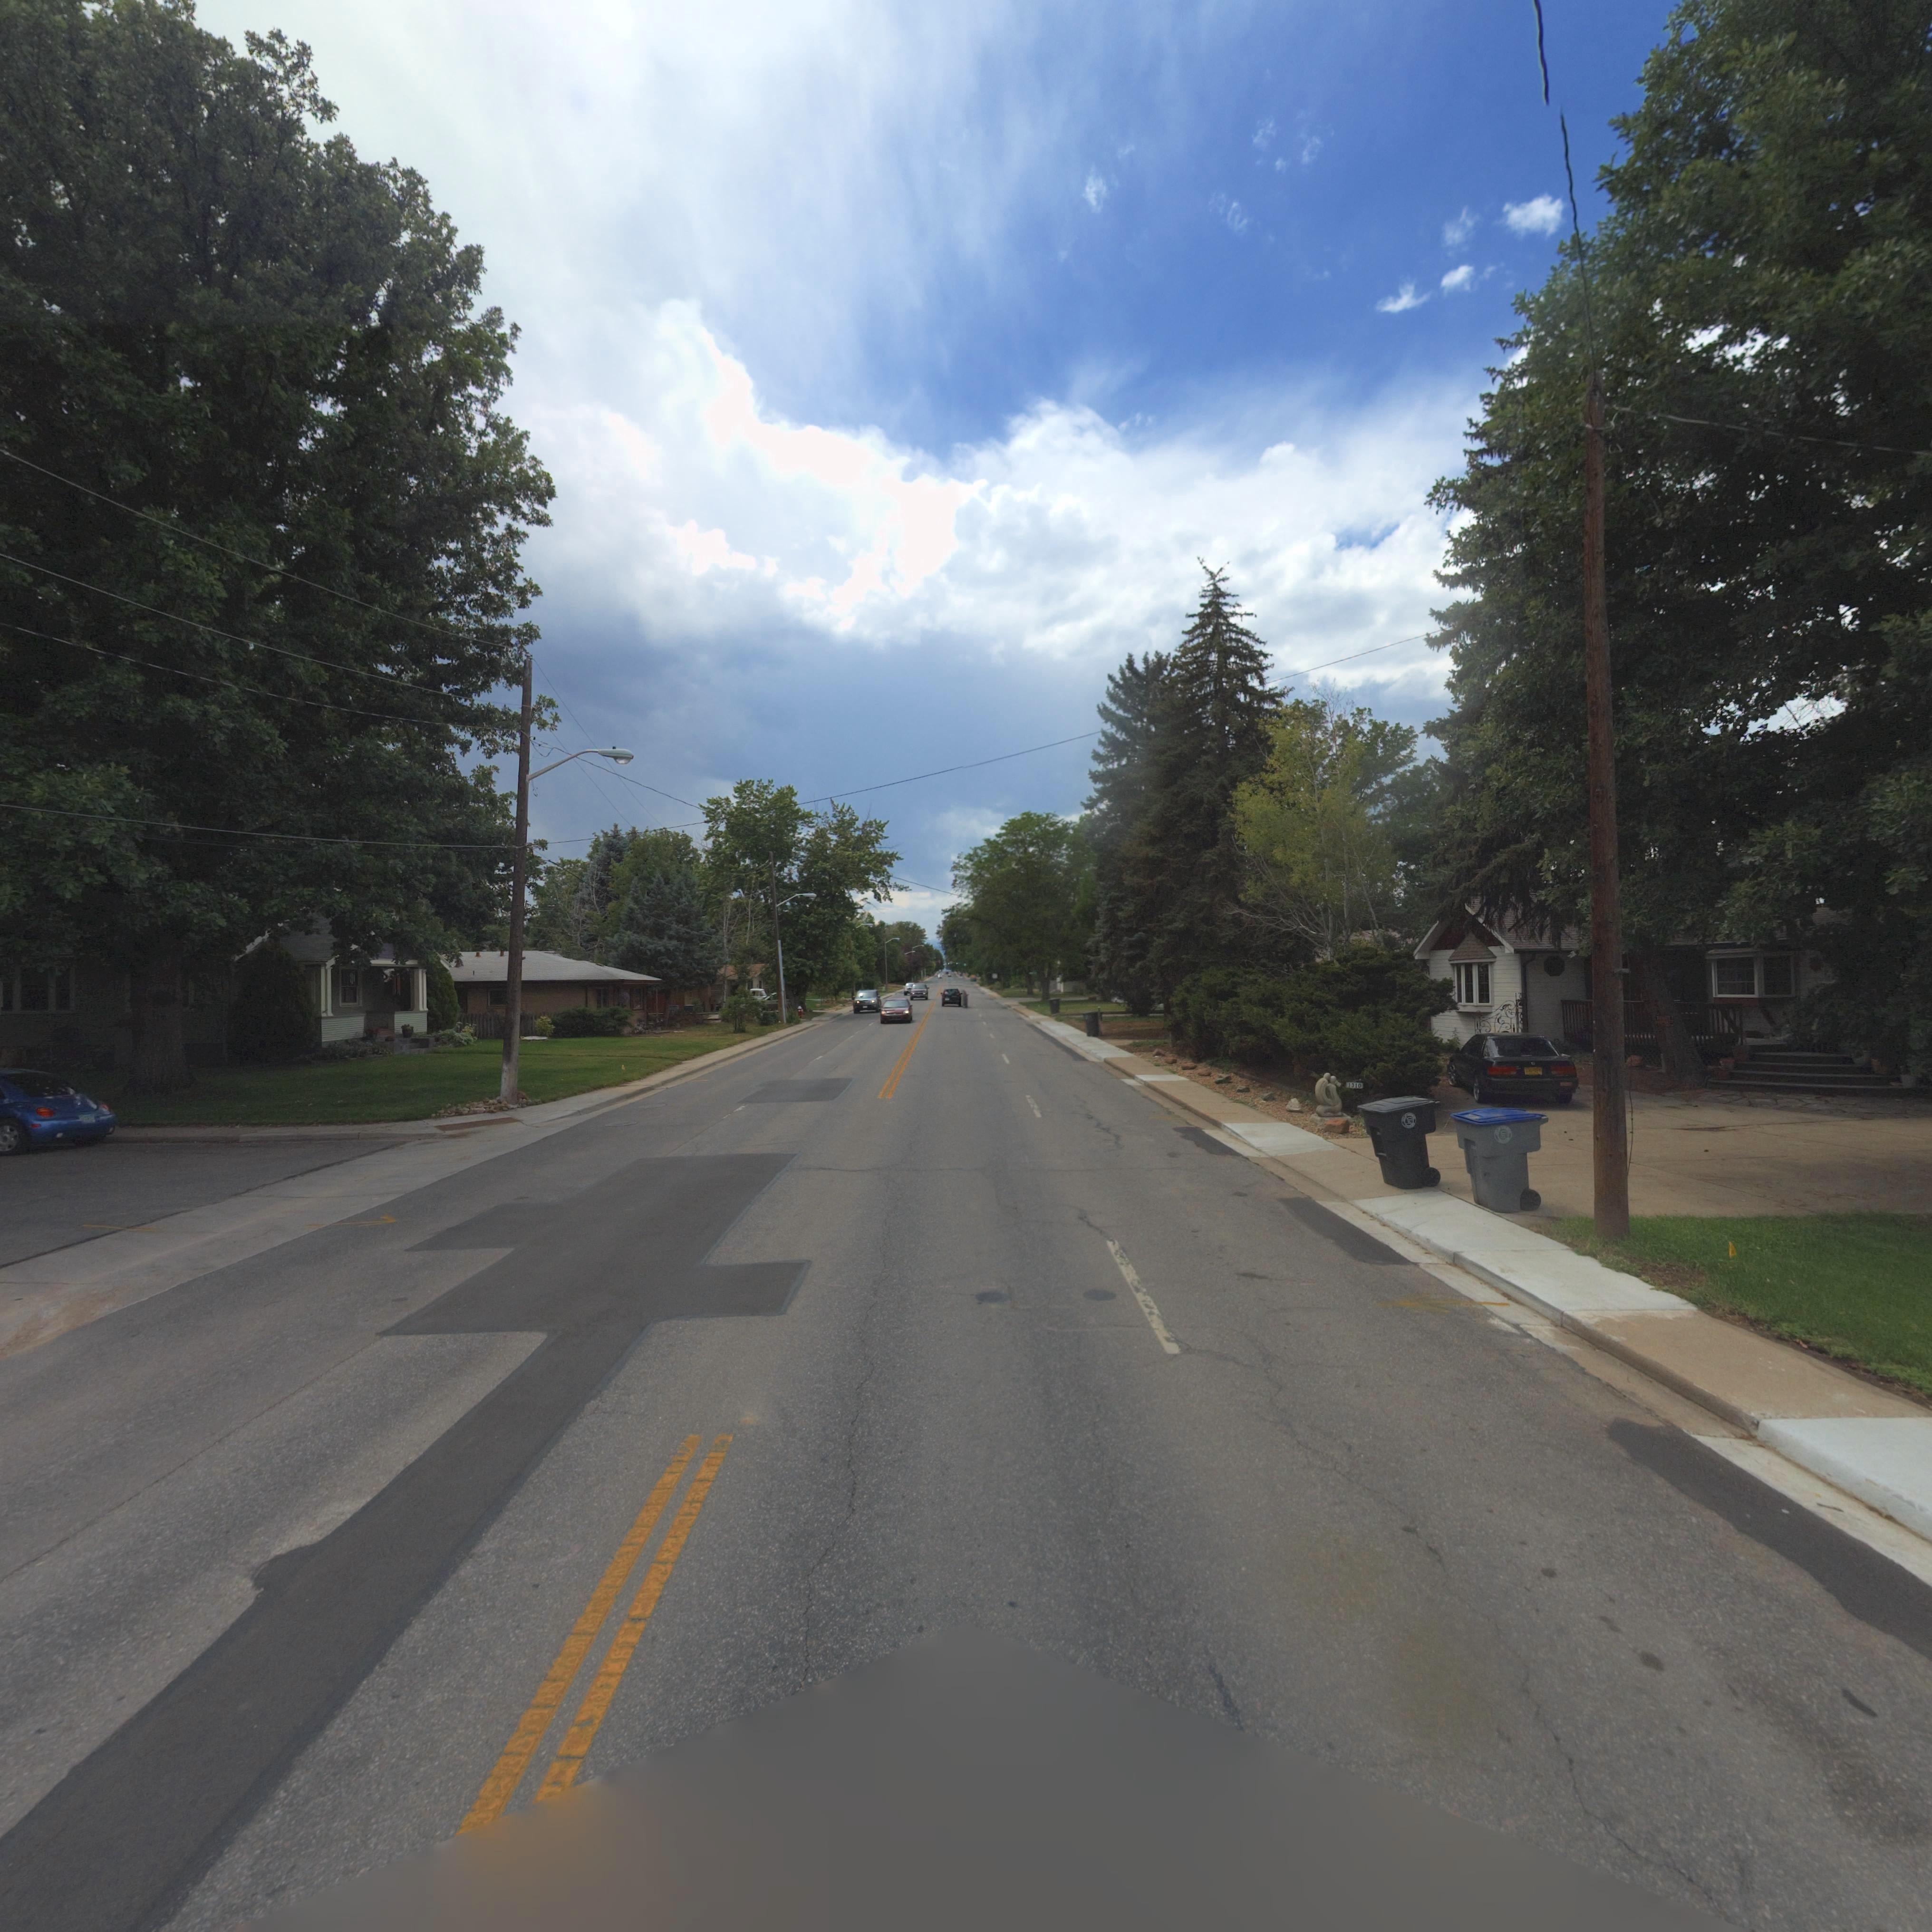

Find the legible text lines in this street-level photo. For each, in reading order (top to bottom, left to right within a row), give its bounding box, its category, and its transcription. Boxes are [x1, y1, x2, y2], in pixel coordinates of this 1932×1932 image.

[1347, 1082, 1362, 1088] StreetNumber: 1310